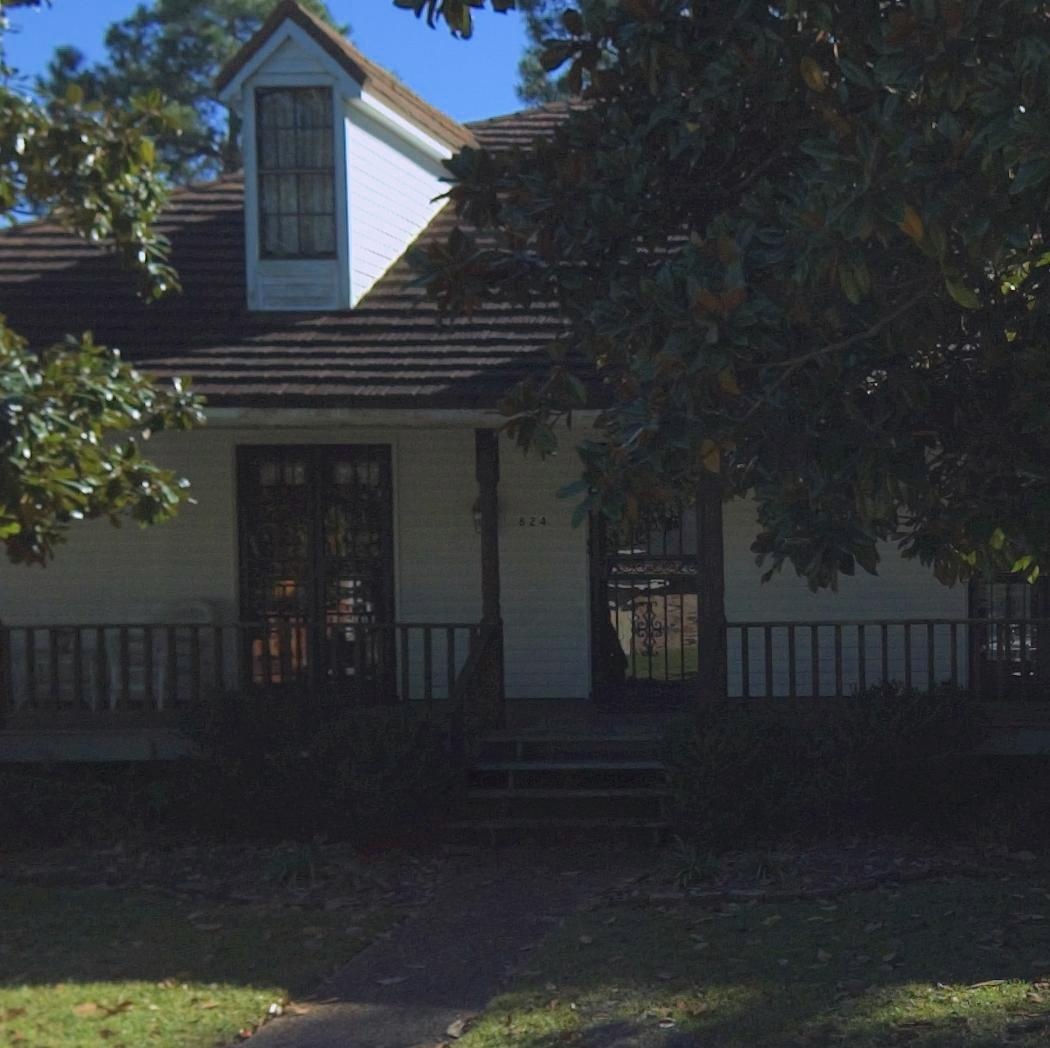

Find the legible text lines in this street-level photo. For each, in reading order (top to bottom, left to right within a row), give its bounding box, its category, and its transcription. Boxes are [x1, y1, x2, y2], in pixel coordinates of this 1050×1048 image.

[517, 515, 548, 528] StreetNumber: 824